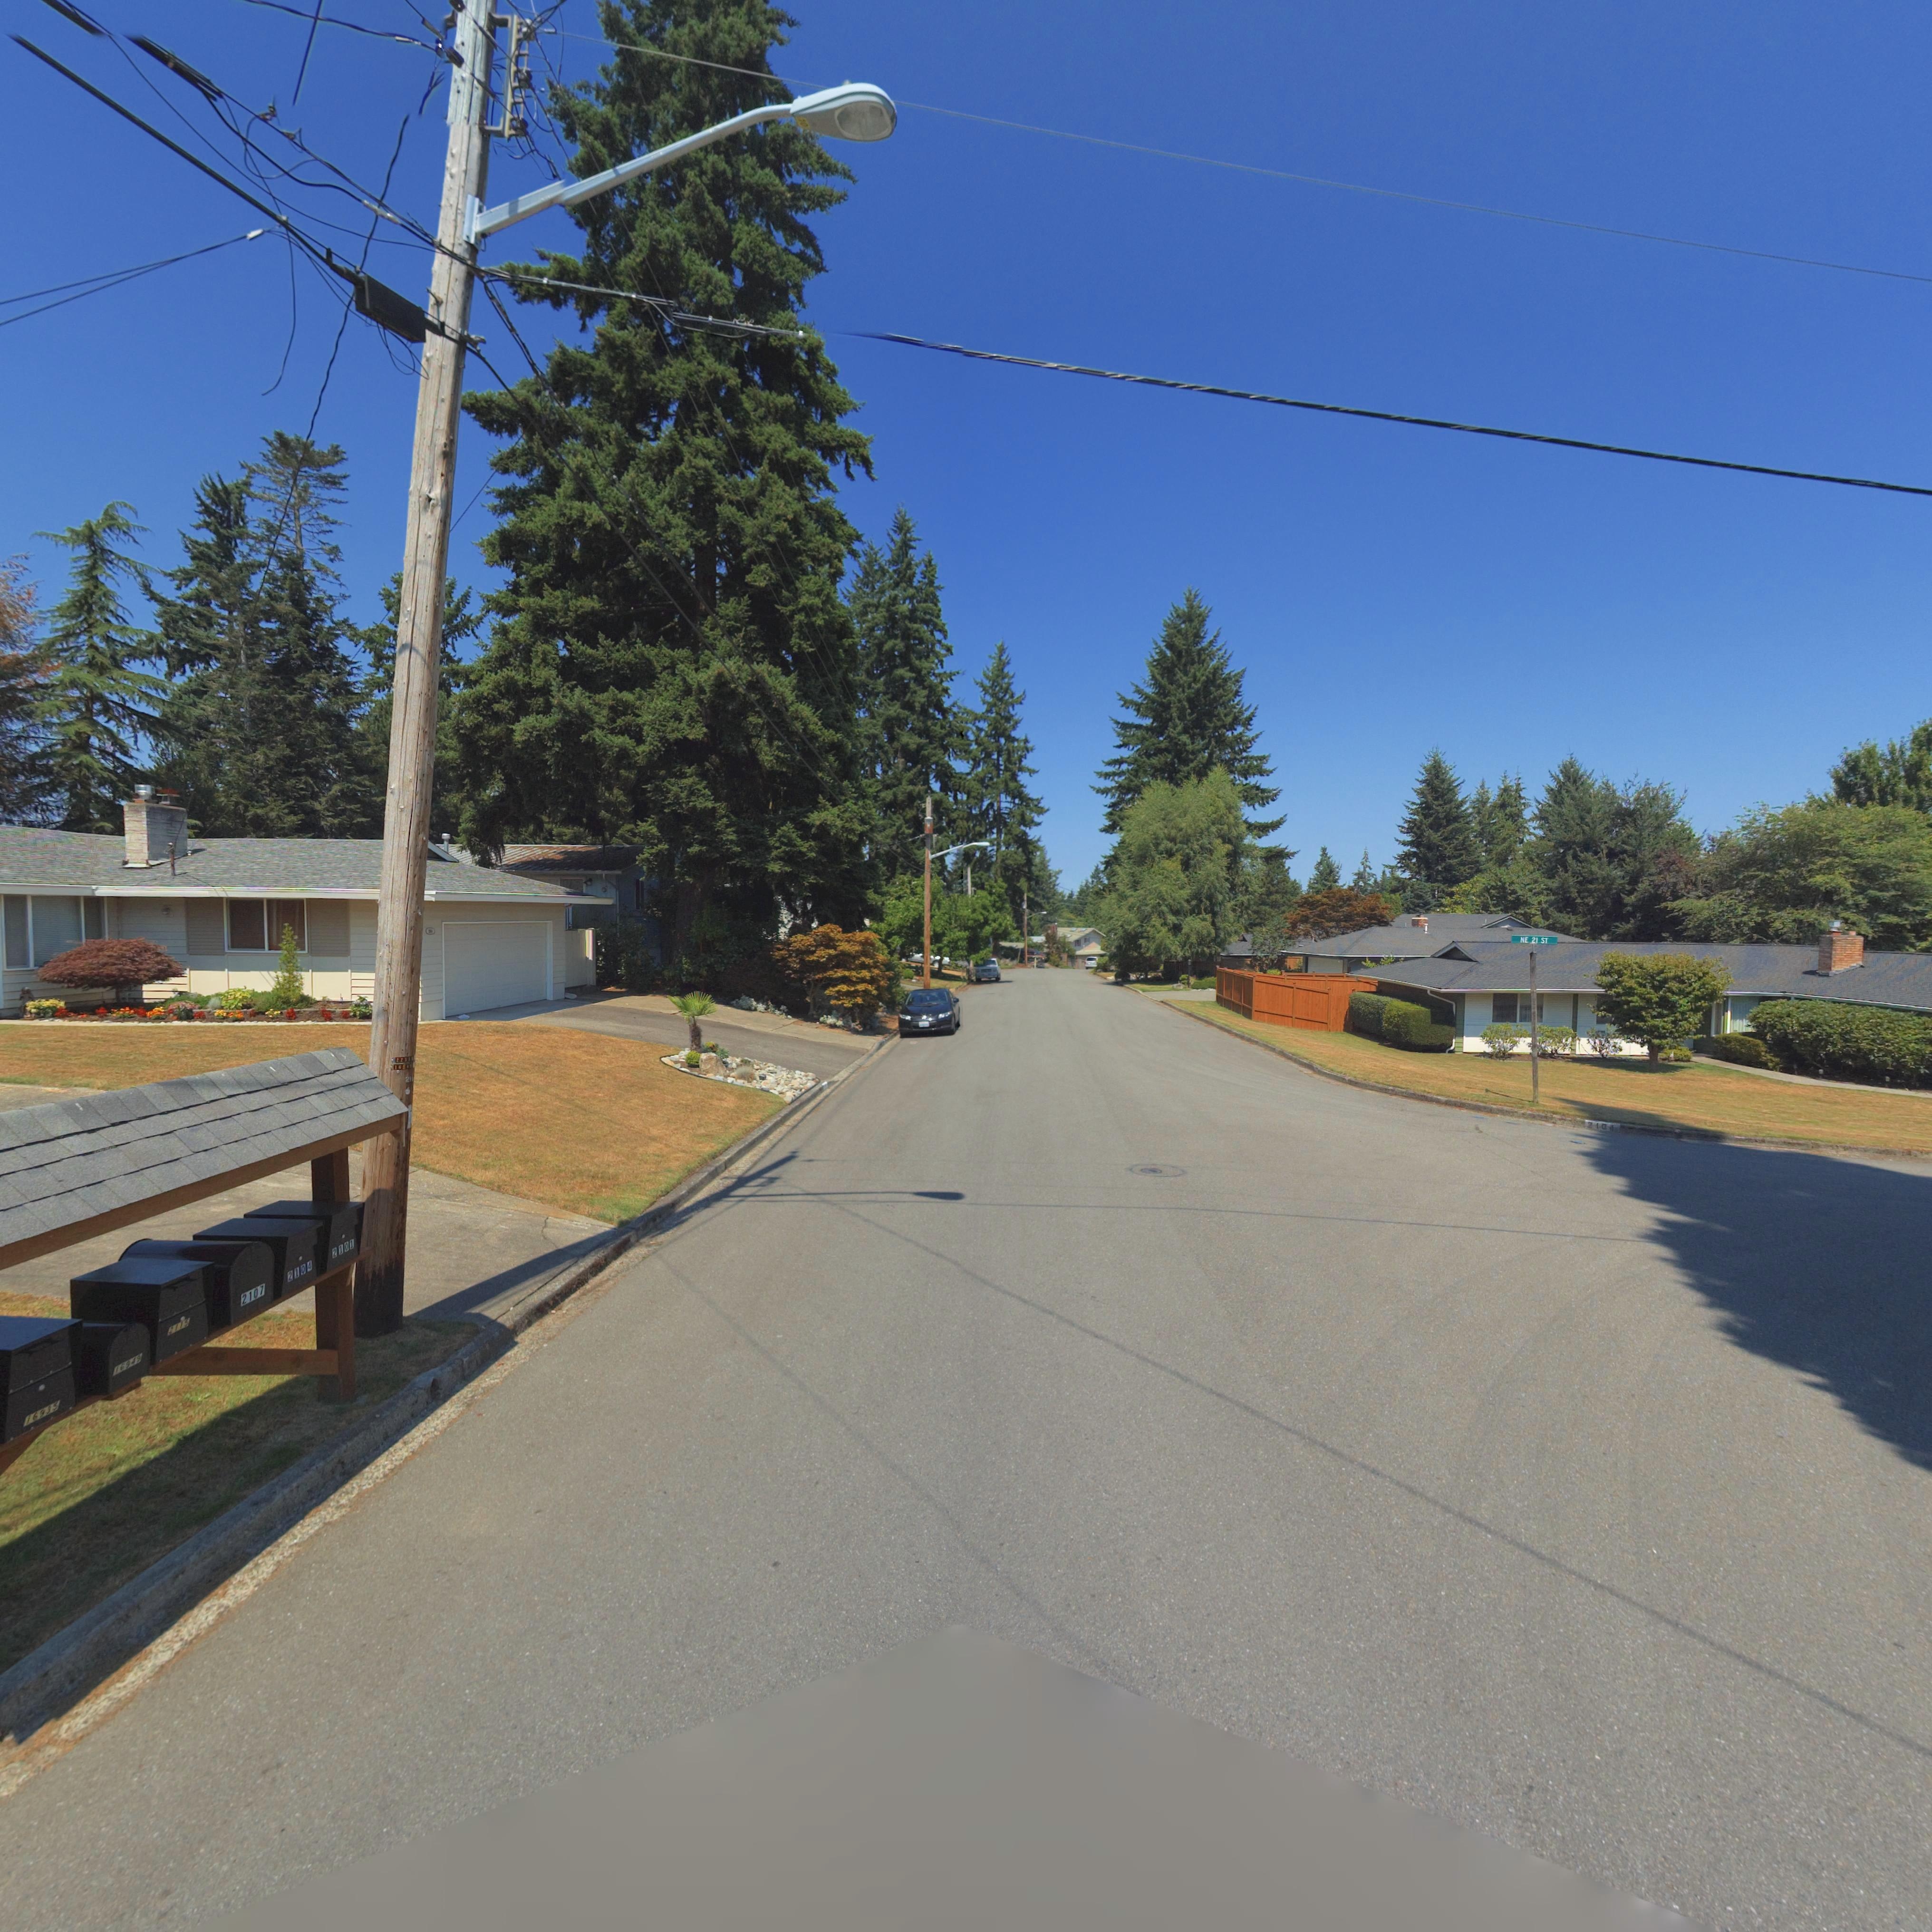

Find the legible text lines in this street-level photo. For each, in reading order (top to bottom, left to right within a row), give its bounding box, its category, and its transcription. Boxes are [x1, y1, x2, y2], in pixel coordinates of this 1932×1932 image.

[1520, 937, 1548, 943] StreetNumber: NE 21 ST
[1587, 1121, 1614, 1131] StreetNumber: 210*
[332, 1238, 354, 1257] StreetNumber: 2101
[288, 1259, 312, 1281] StreetNumber: 2104
[241, 1283, 264, 1304] StreetNumber: 210*
[24, 1407, 46, 1426] StreetNumber: 169